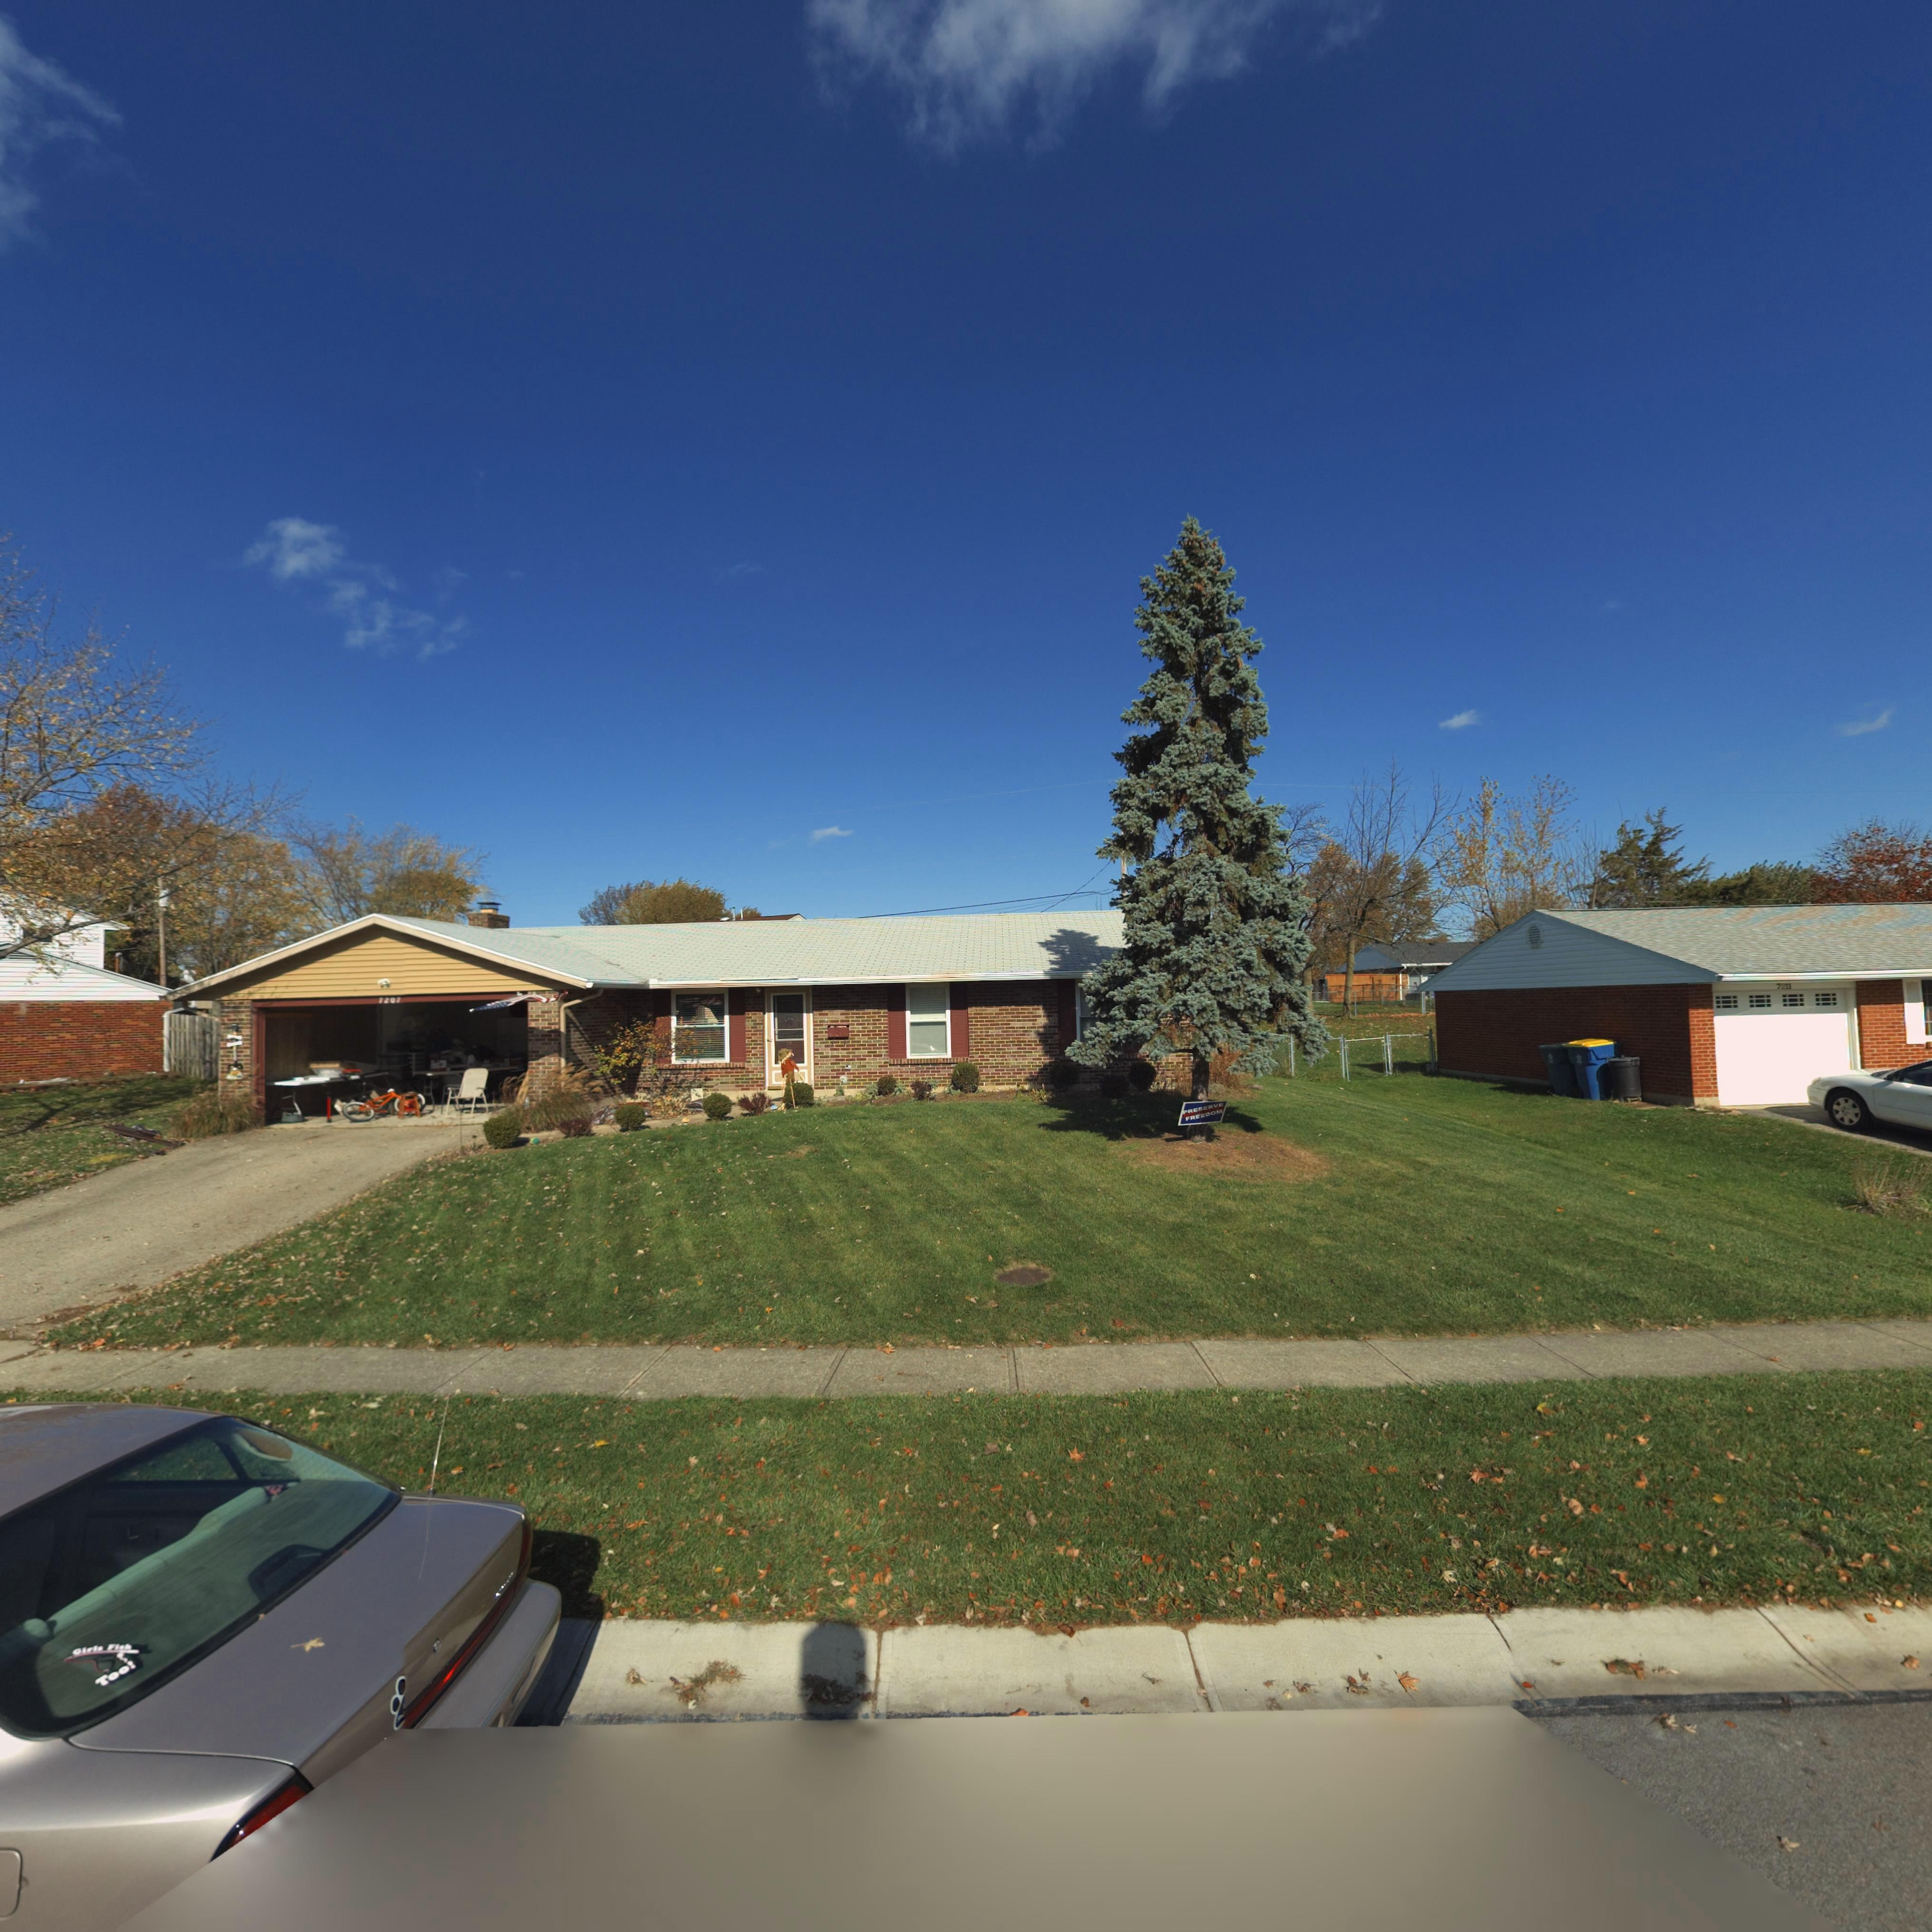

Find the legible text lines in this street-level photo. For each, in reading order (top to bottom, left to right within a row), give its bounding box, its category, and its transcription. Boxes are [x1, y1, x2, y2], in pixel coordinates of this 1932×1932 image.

[1775, 981, 1792, 991] StreetNumber: 7*11
[377, 994, 402, 1005] StreetNumber: **0*